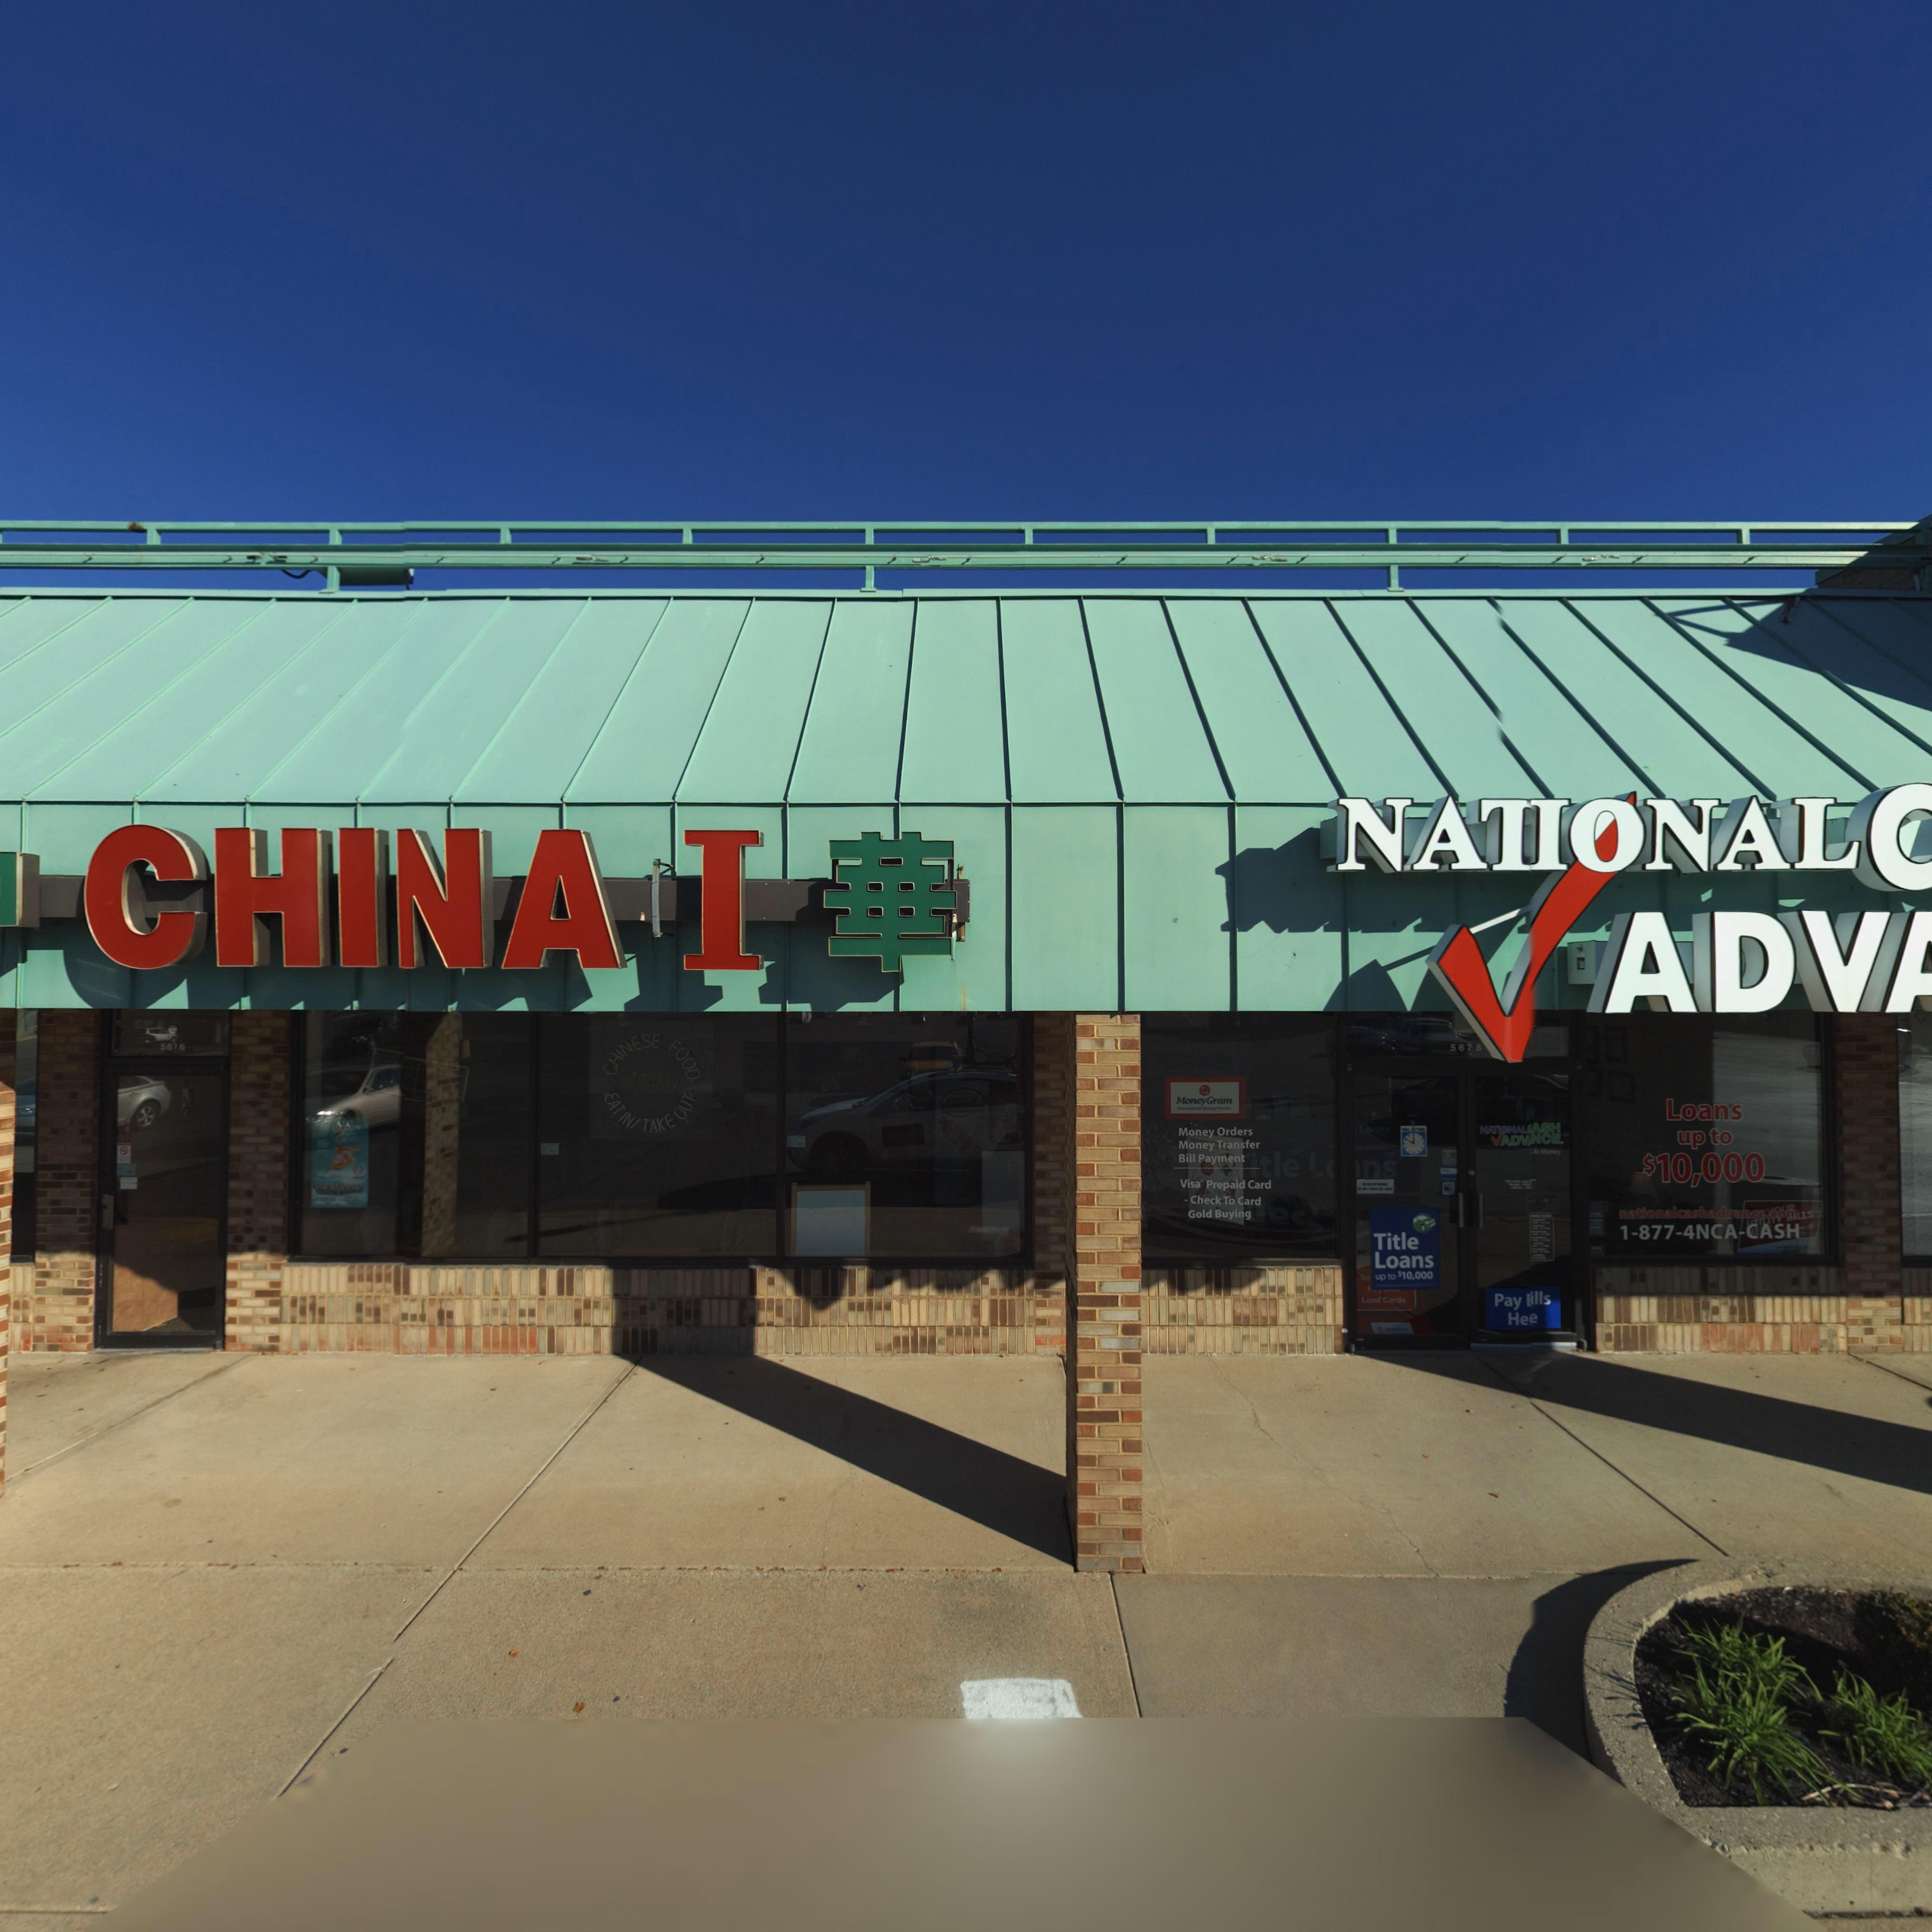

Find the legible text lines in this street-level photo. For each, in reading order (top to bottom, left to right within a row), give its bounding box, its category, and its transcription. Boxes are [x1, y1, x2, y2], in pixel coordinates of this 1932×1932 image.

[160, 1043, 186, 1051] StreetNumber: 5676
[1449, 1043, 1482, 1052] StreetNumber: 5678